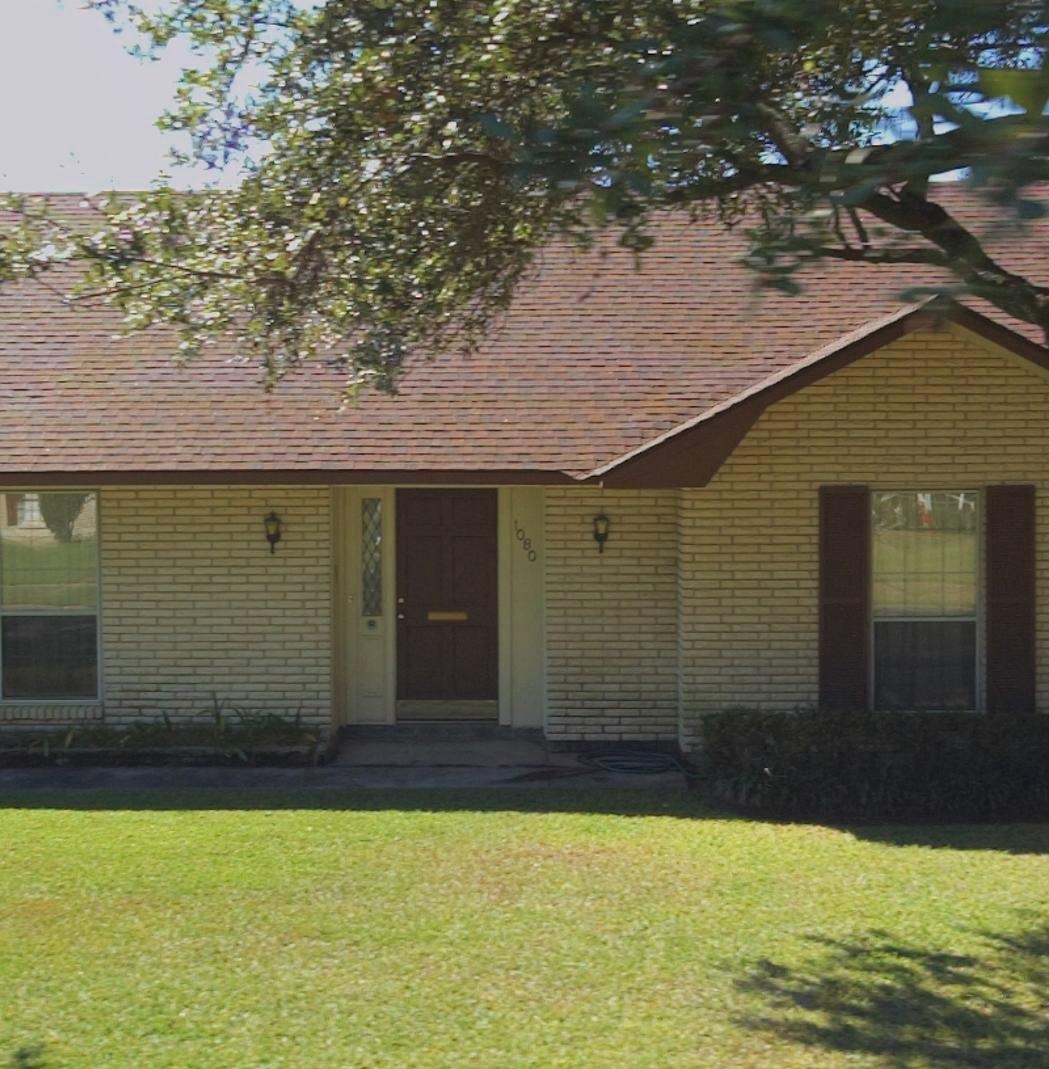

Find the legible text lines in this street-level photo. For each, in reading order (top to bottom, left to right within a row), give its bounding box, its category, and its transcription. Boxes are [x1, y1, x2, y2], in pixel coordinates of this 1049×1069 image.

[512, 517, 539, 564] StreetNumber: 1080